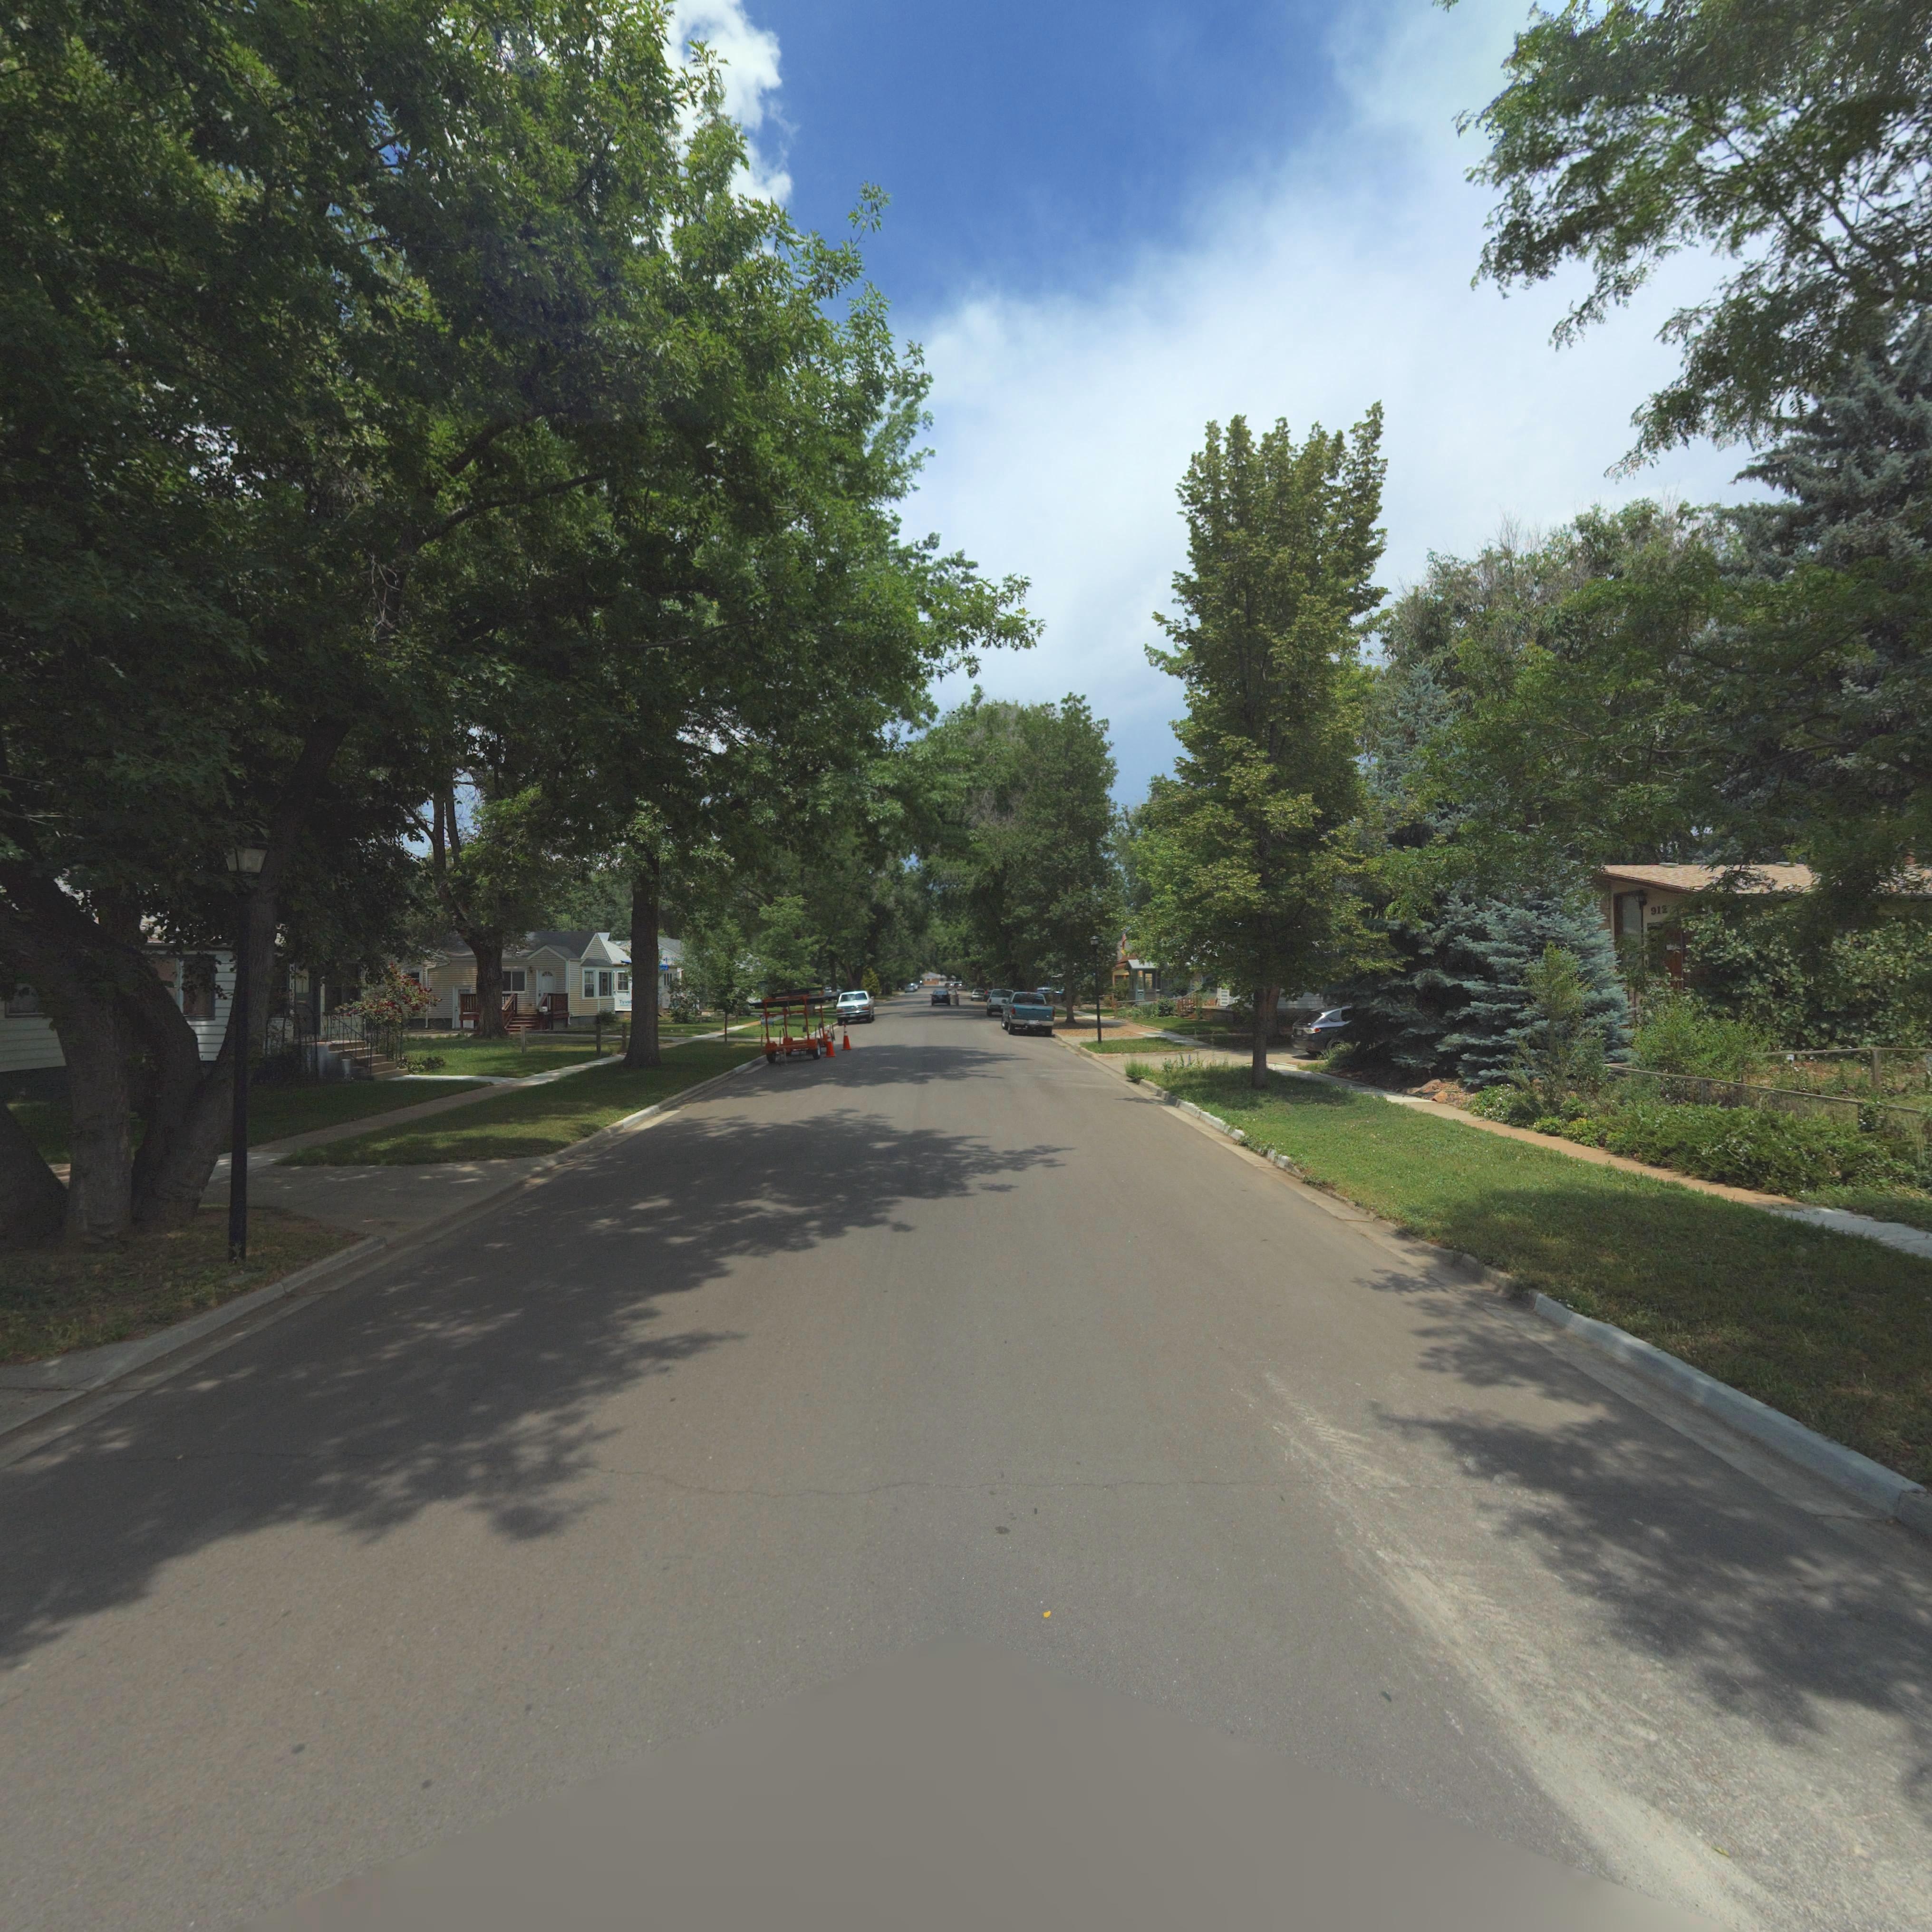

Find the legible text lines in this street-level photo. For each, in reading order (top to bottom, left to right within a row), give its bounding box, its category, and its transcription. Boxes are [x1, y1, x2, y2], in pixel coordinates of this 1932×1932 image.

[1650, 904, 1668, 915] StreetNumber: 912